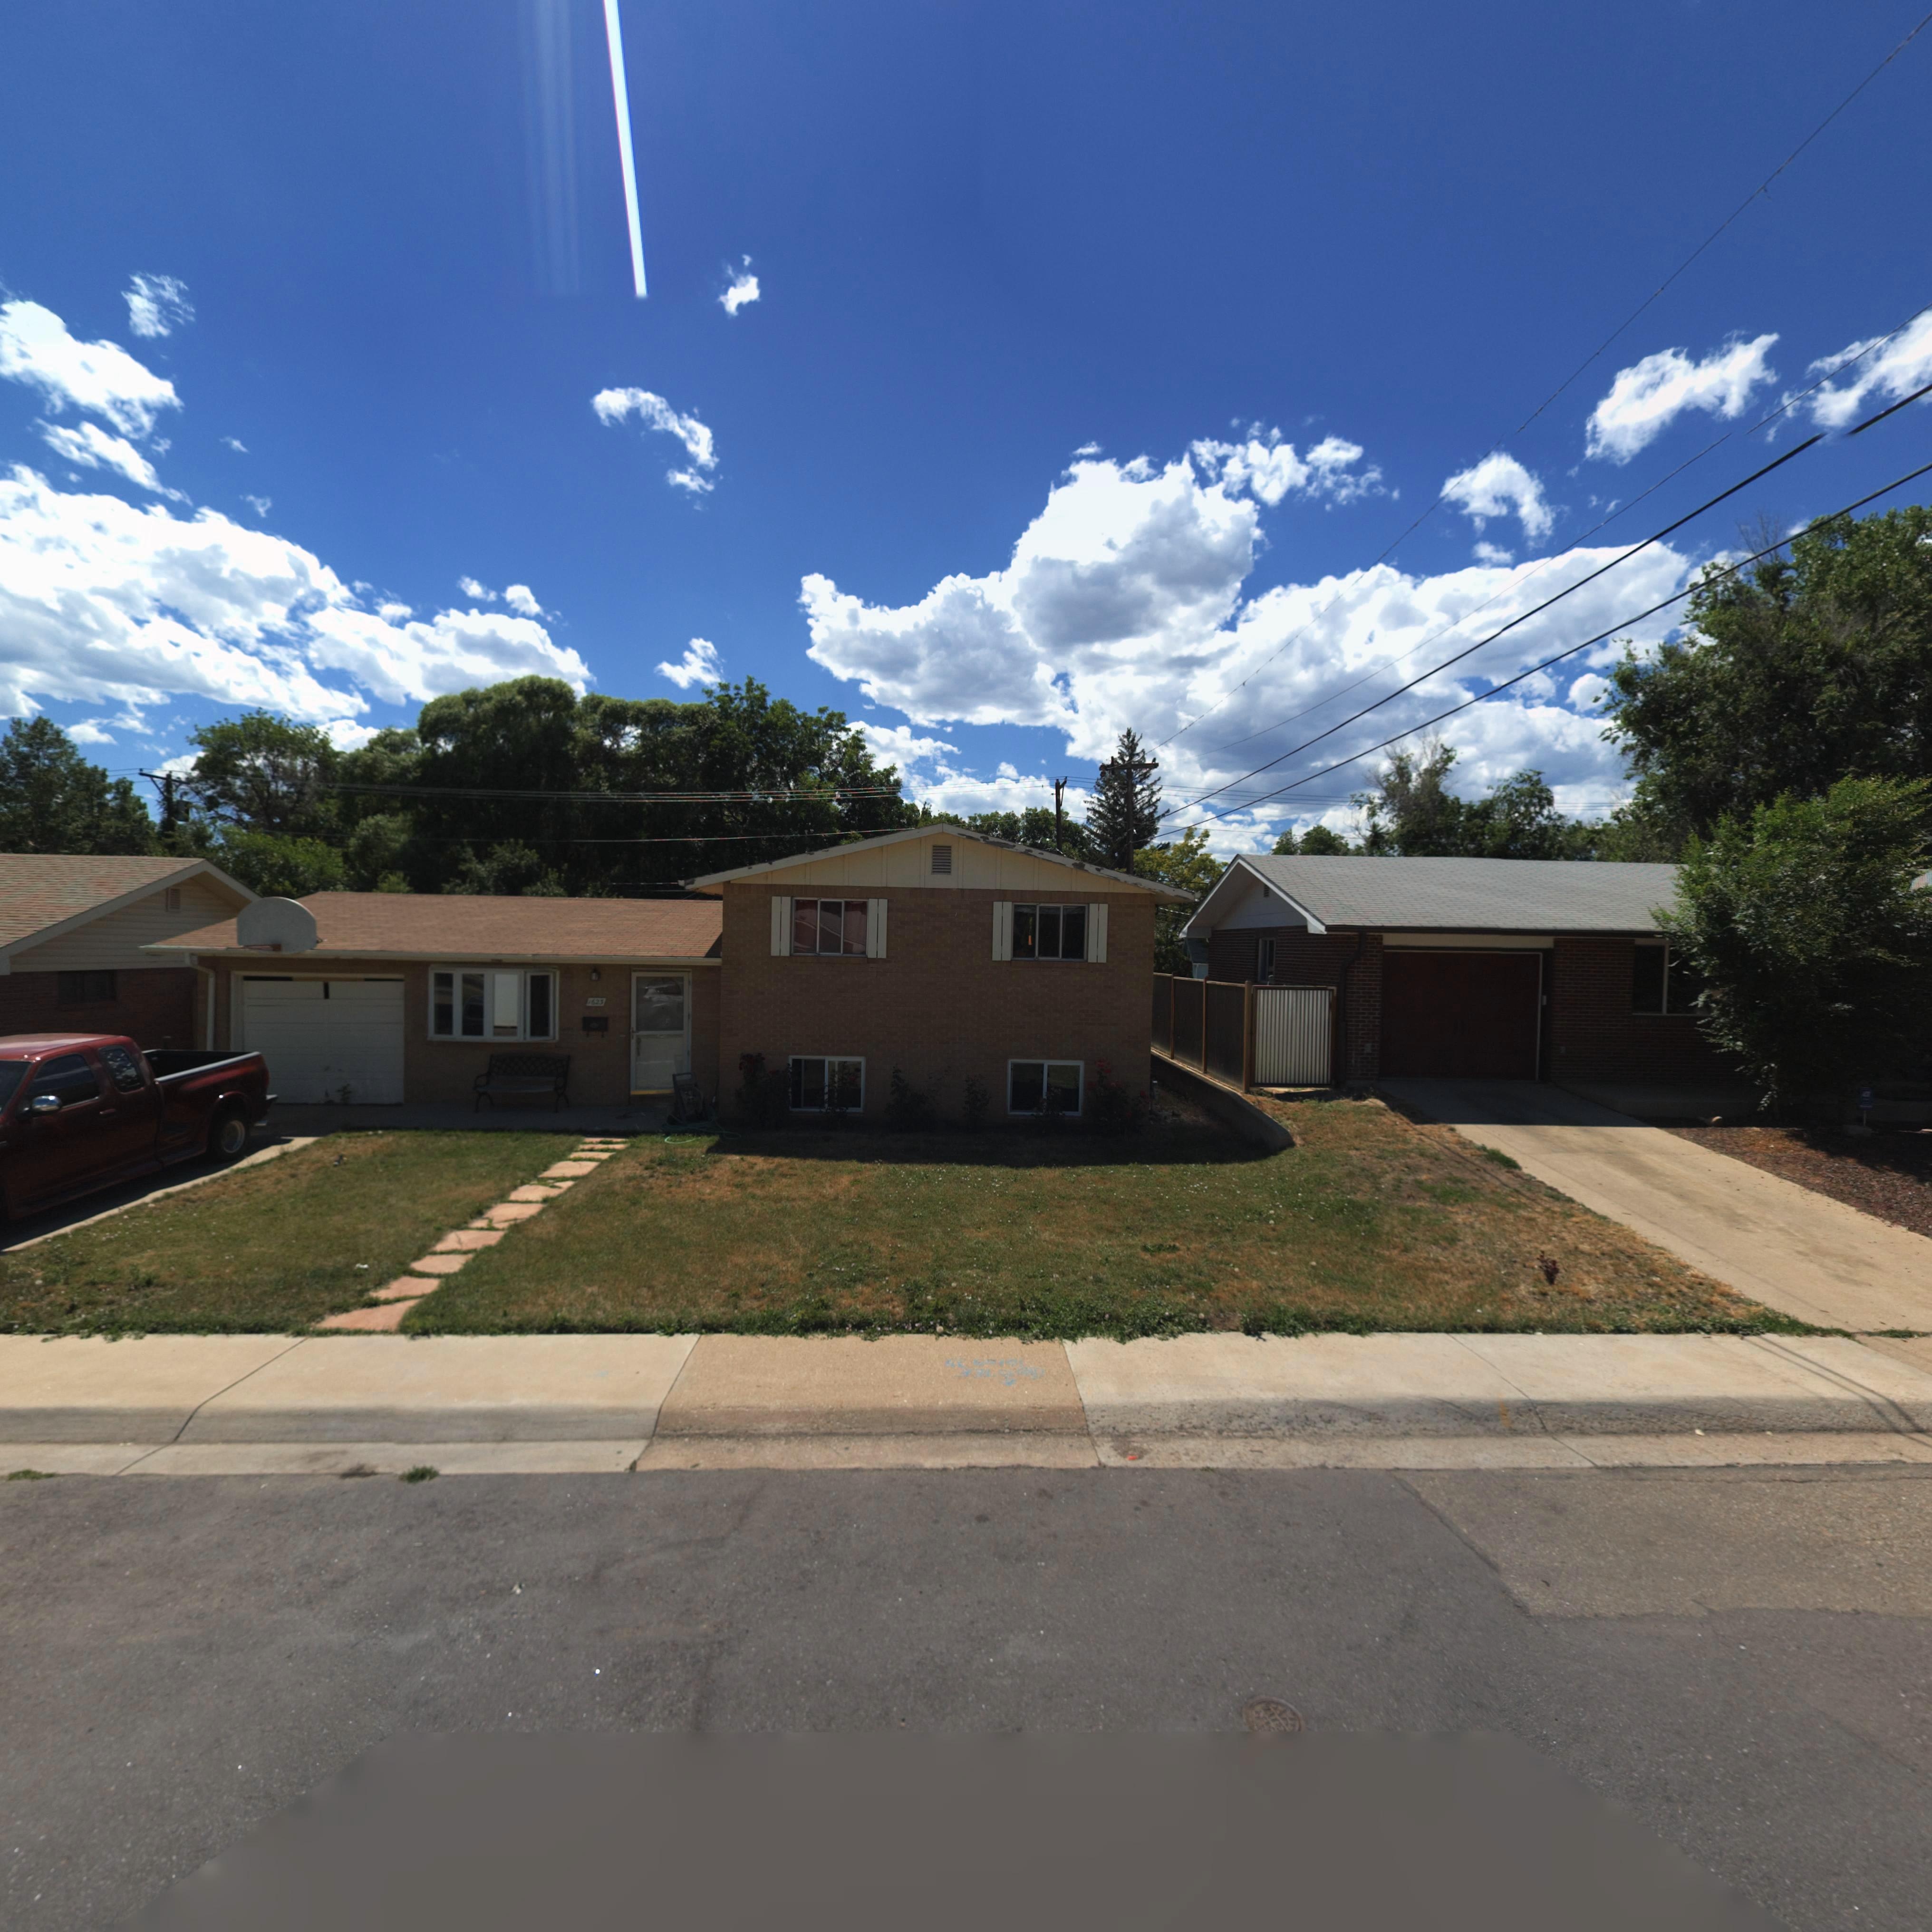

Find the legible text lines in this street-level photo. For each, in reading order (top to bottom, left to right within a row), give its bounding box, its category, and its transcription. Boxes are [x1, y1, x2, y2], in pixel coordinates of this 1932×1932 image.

[587, 999, 604, 1005] StreetNumber: 1623